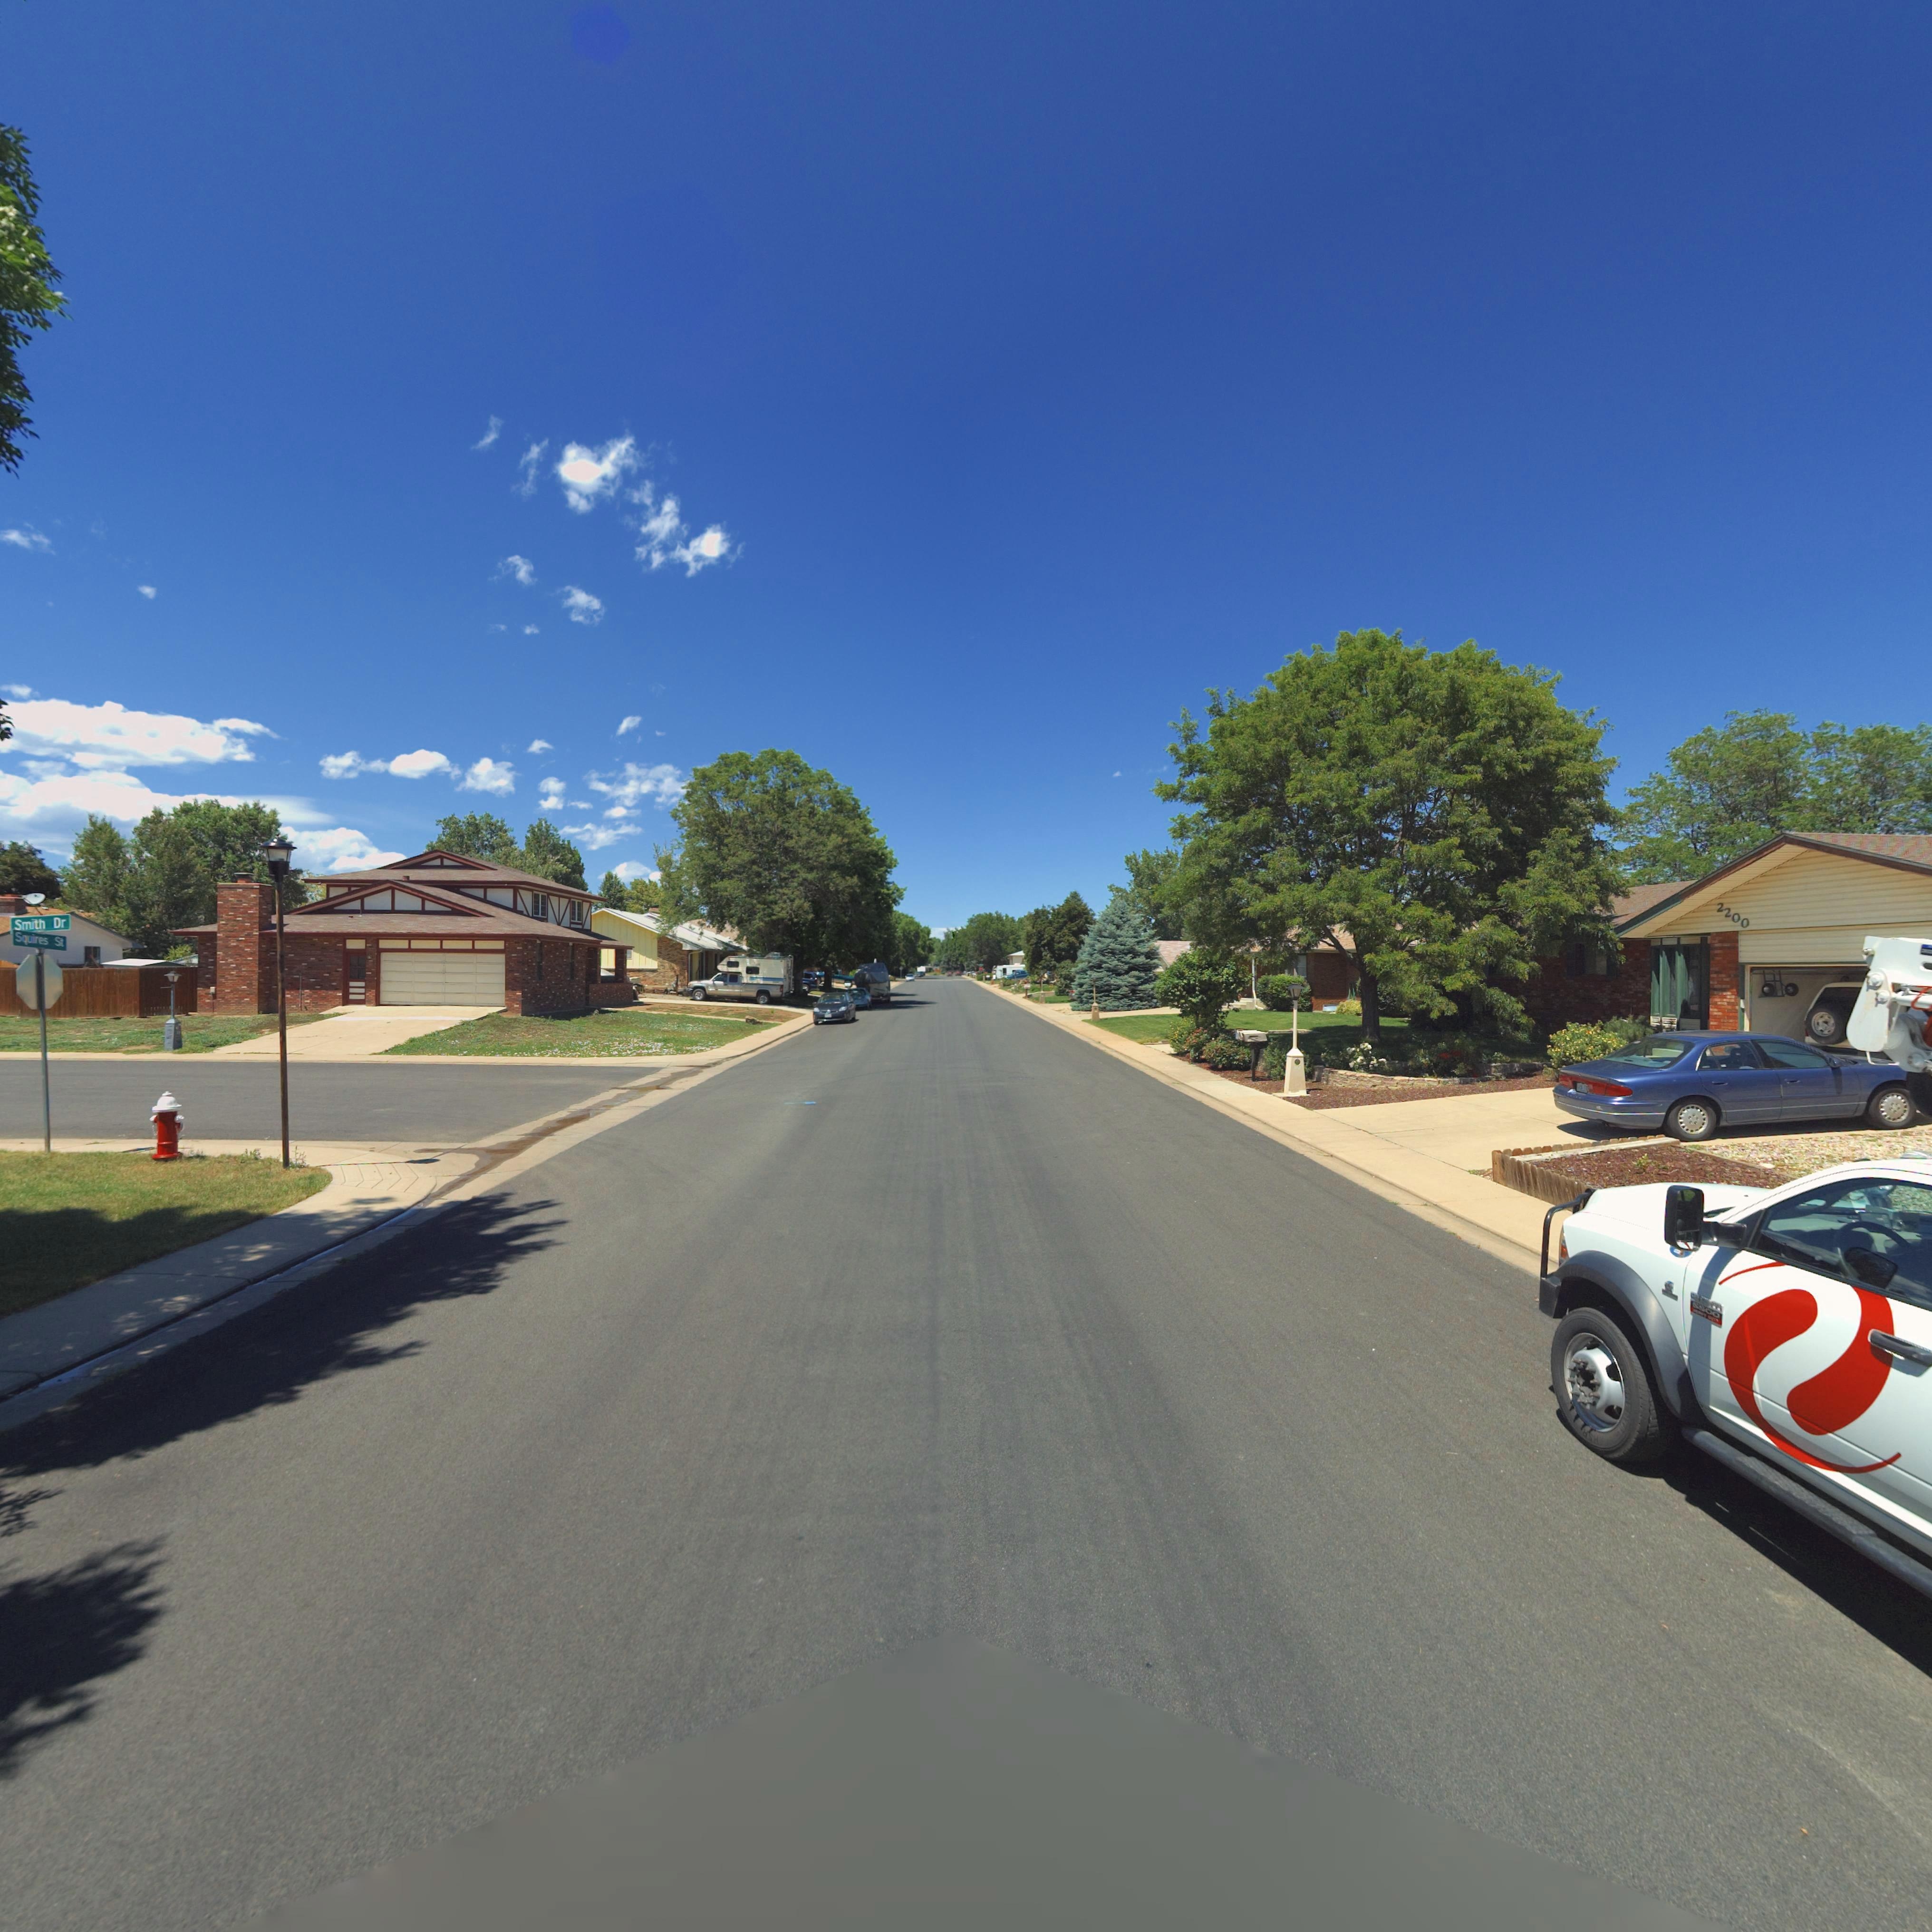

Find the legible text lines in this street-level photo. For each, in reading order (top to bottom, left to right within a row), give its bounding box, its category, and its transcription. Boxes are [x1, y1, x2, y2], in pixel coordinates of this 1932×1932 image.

[1716, 902, 1749, 928] StreetNumber: 2200
[13, 917, 66, 931] StreetName: Smith Dr
[14, 931, 65, 947] StreetName: Squires St